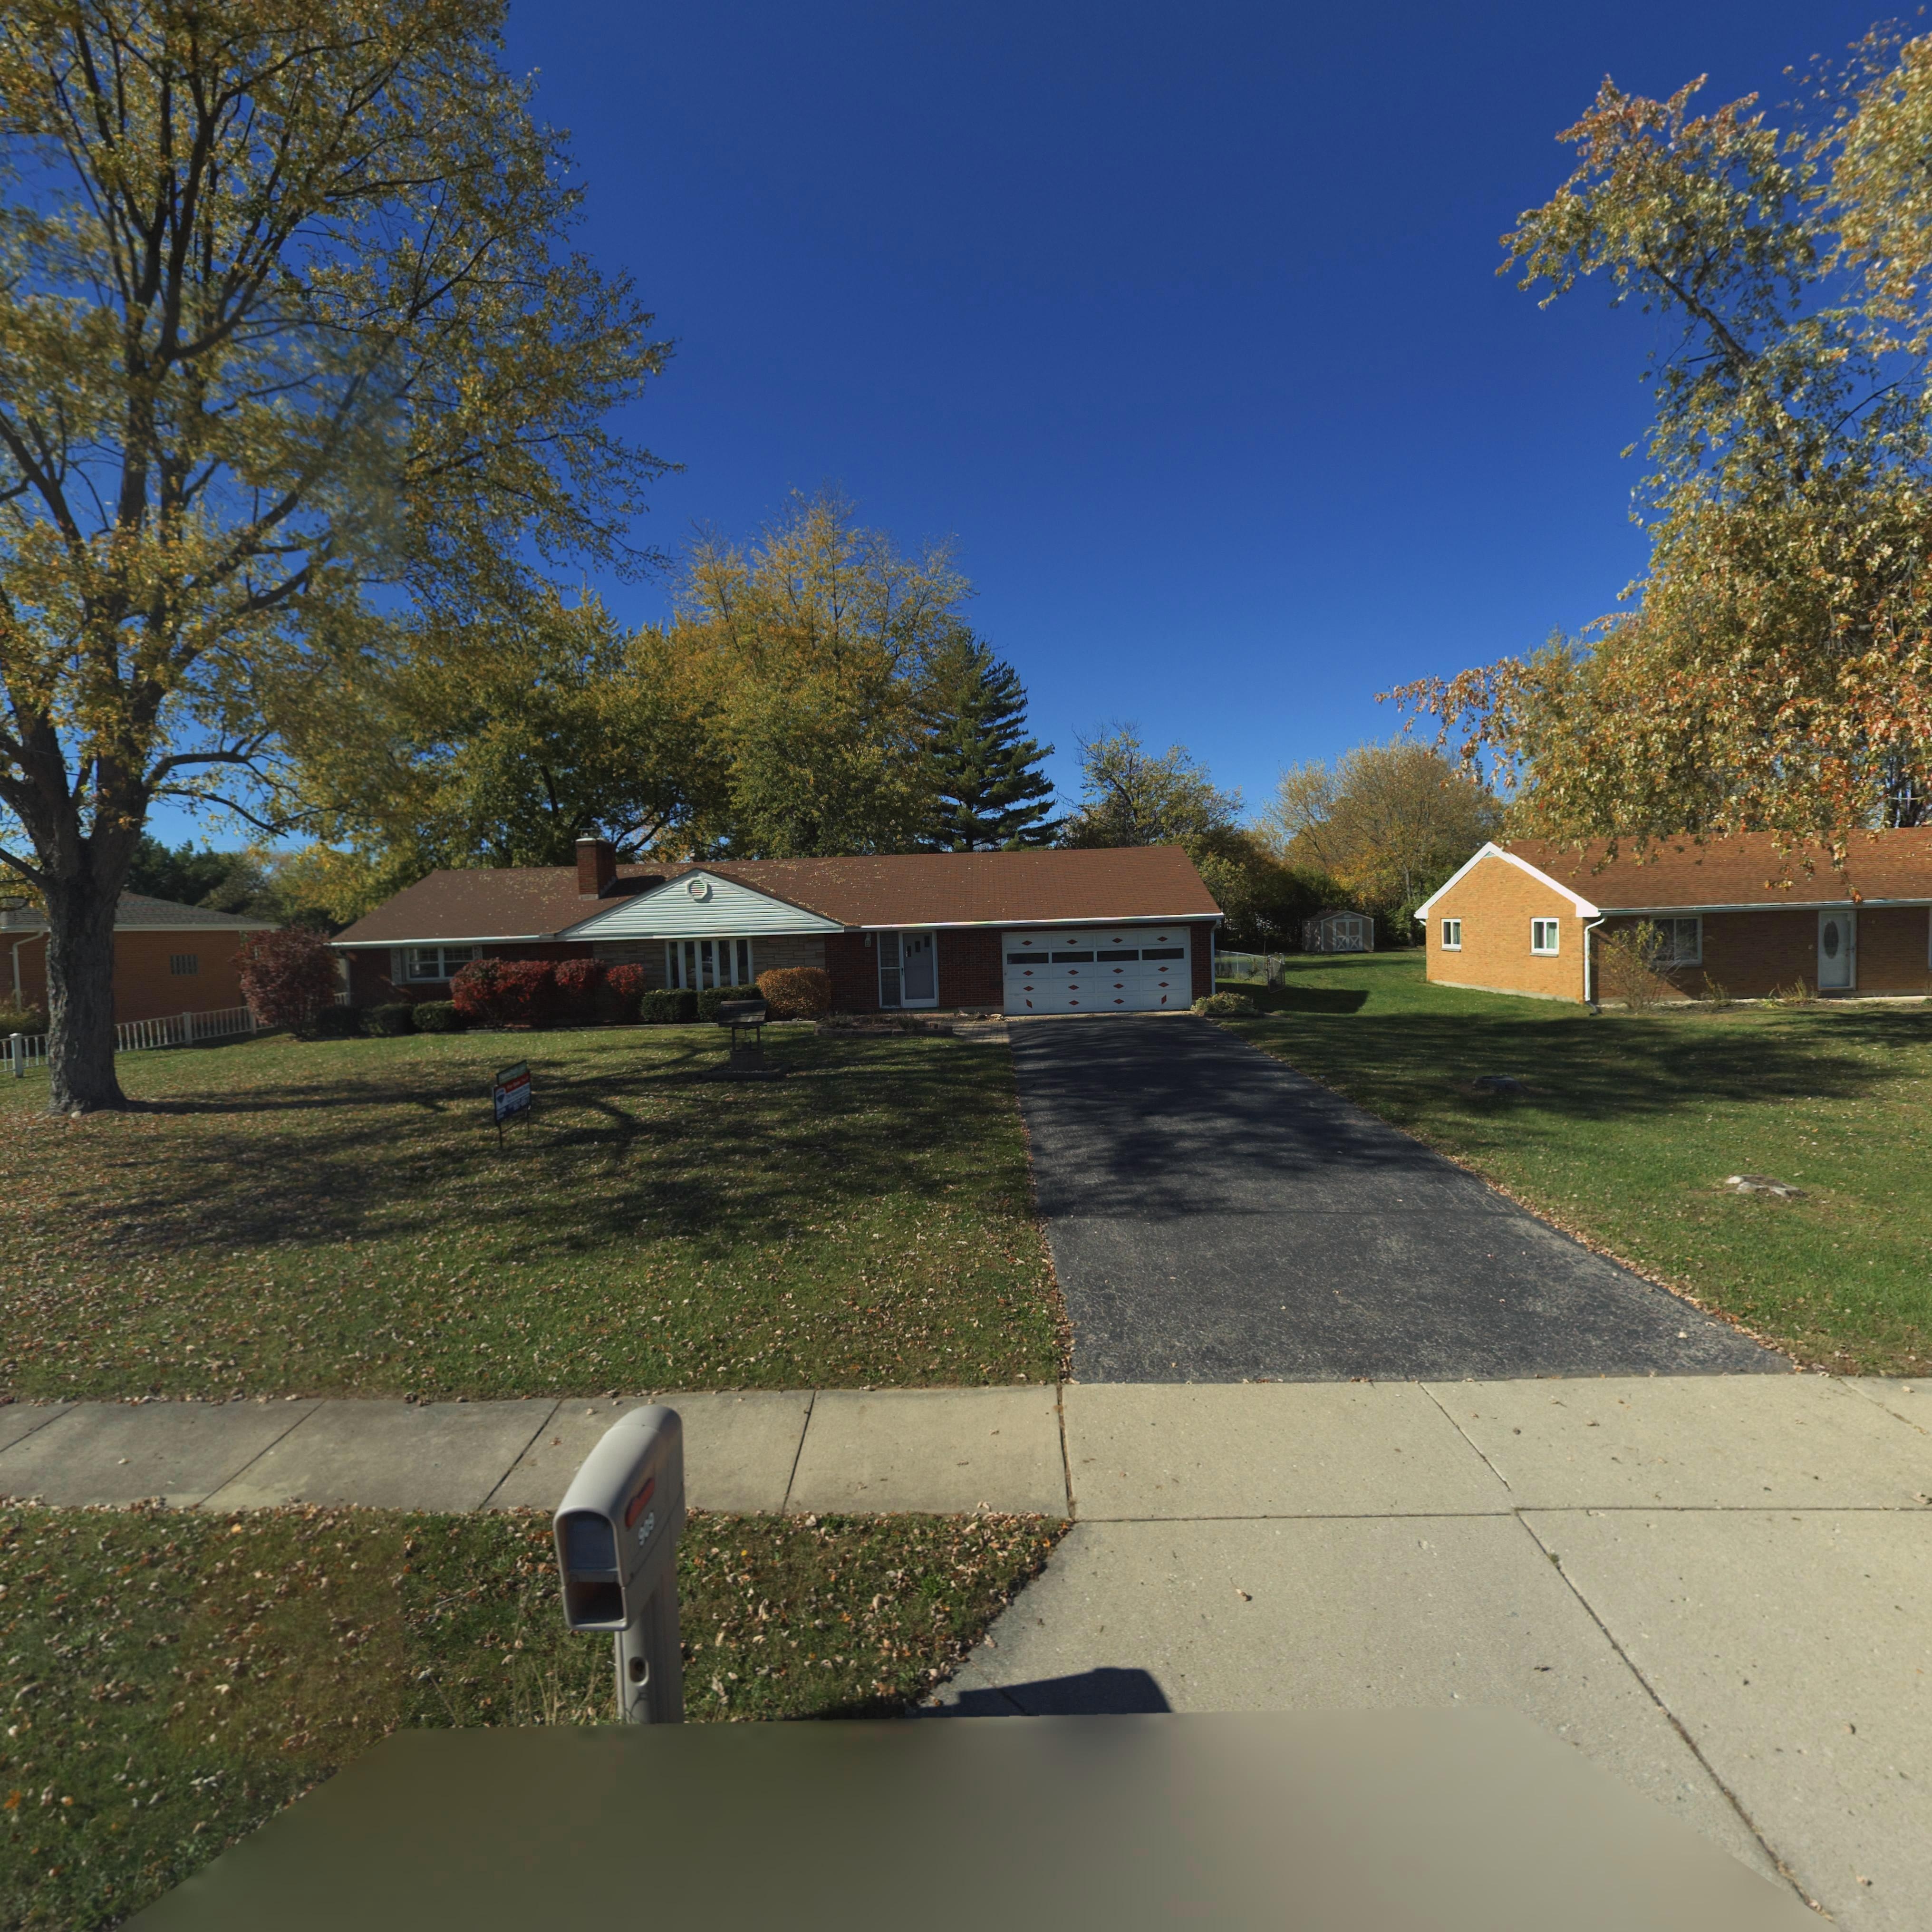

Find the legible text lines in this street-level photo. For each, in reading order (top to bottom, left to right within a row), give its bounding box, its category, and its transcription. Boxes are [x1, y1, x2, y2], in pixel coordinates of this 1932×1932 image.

[637, 1508, 656, 1547] StreetNumber: 909